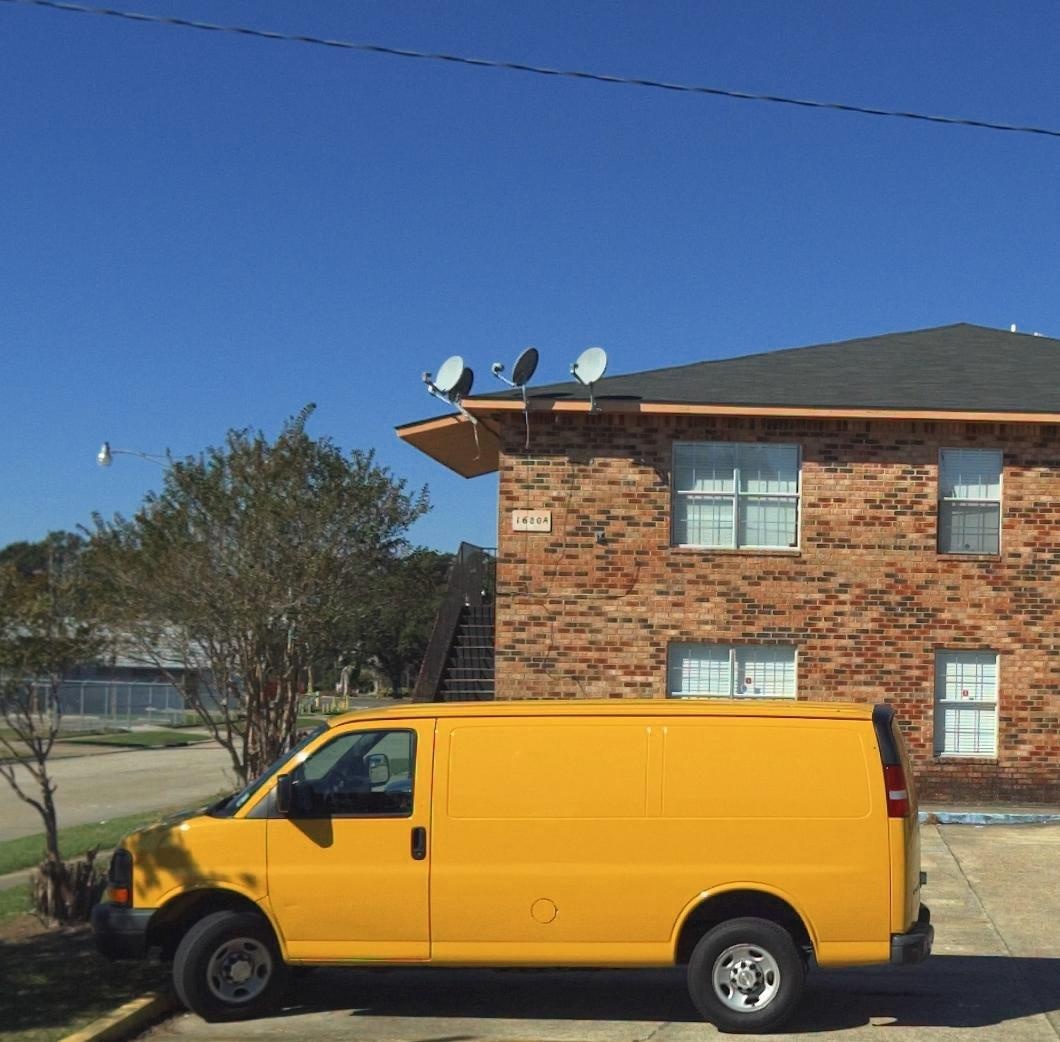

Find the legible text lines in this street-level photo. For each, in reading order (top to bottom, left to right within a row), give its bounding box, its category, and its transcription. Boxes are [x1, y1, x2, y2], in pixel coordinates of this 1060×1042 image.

[515, 514, 550, 527] StreetNumber: 1680 A